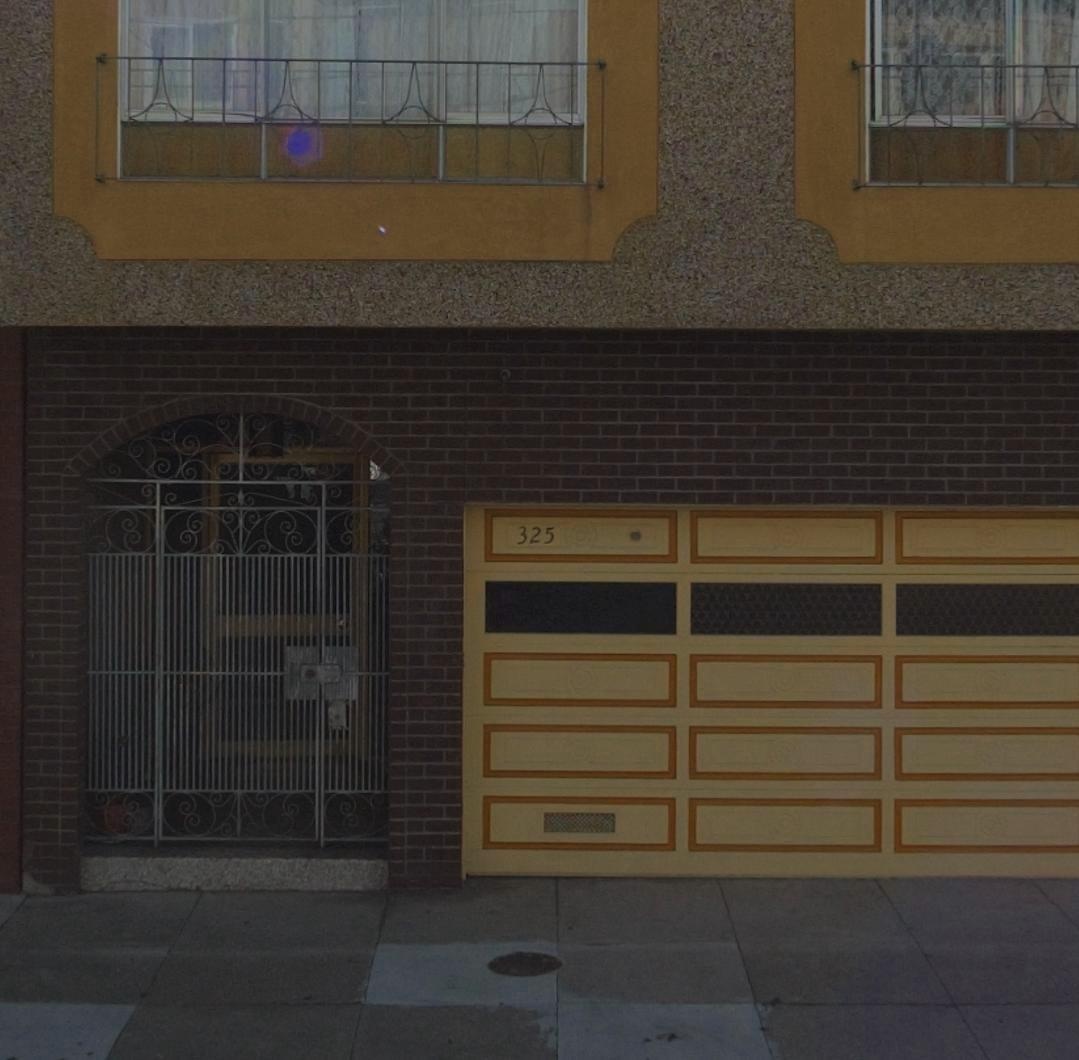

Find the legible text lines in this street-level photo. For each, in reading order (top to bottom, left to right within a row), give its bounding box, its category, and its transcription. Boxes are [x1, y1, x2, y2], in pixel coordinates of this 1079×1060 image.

[515, 524, 556, 546] StreetNumber: 325